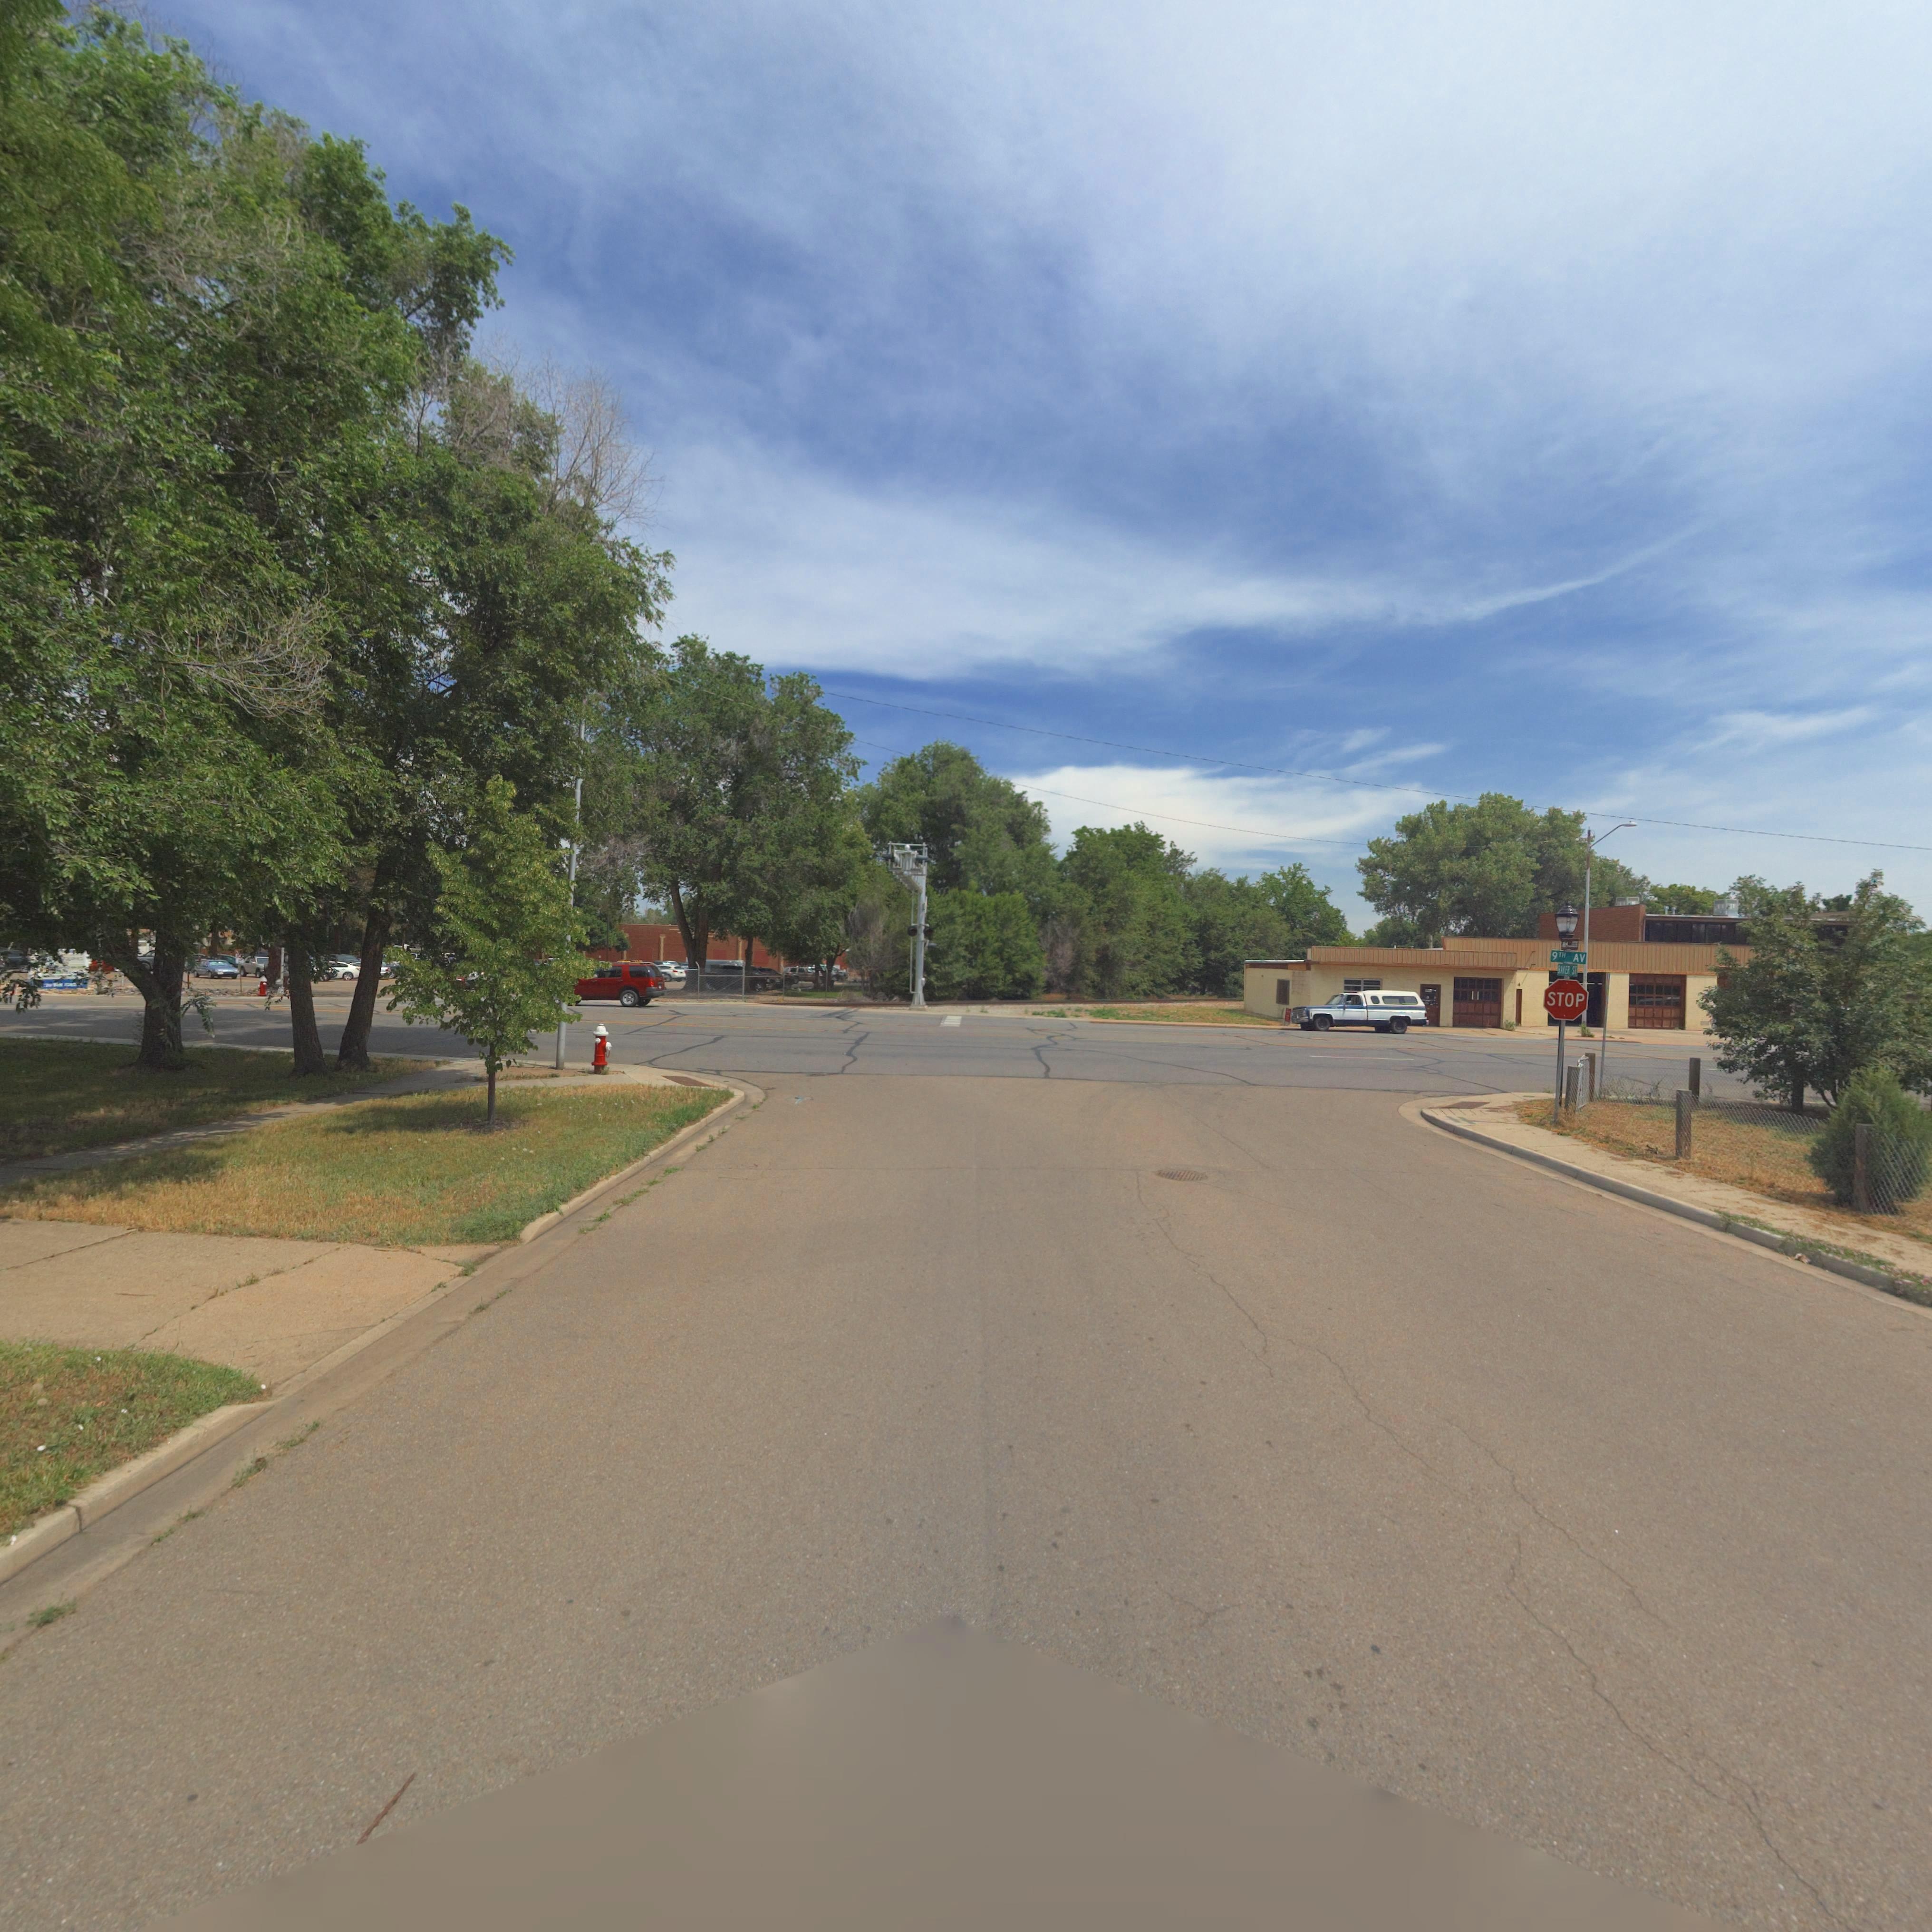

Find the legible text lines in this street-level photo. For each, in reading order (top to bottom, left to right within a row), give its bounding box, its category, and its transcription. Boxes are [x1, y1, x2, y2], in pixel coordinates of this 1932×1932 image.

[1551, 950, 1586, 963] StreetName: 9TH AV
[1557, 964, 1577, 975] StreetName: ***ER ST